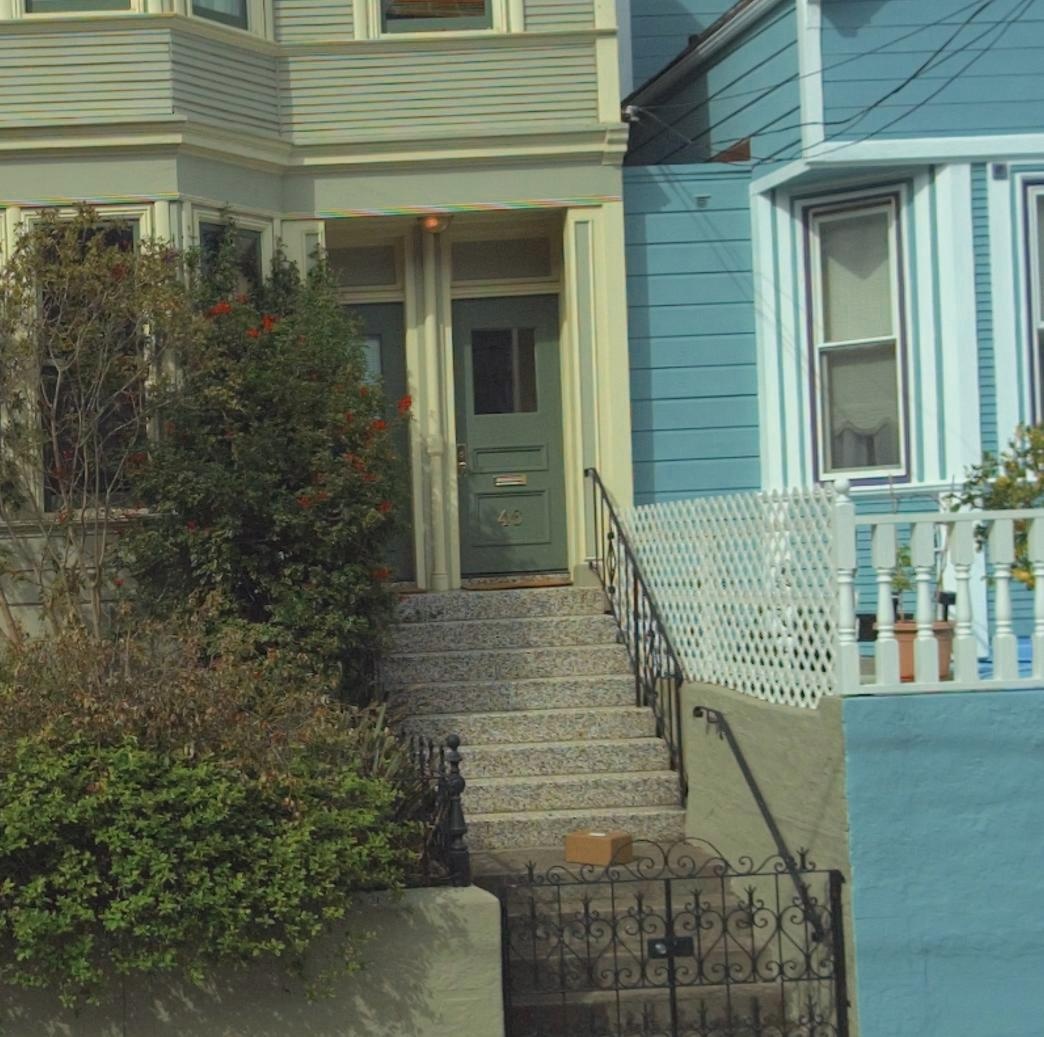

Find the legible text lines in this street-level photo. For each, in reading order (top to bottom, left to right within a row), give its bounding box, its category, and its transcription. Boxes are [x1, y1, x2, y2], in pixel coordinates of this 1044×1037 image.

[496, 508, 523, 527] StreetNumber: 46